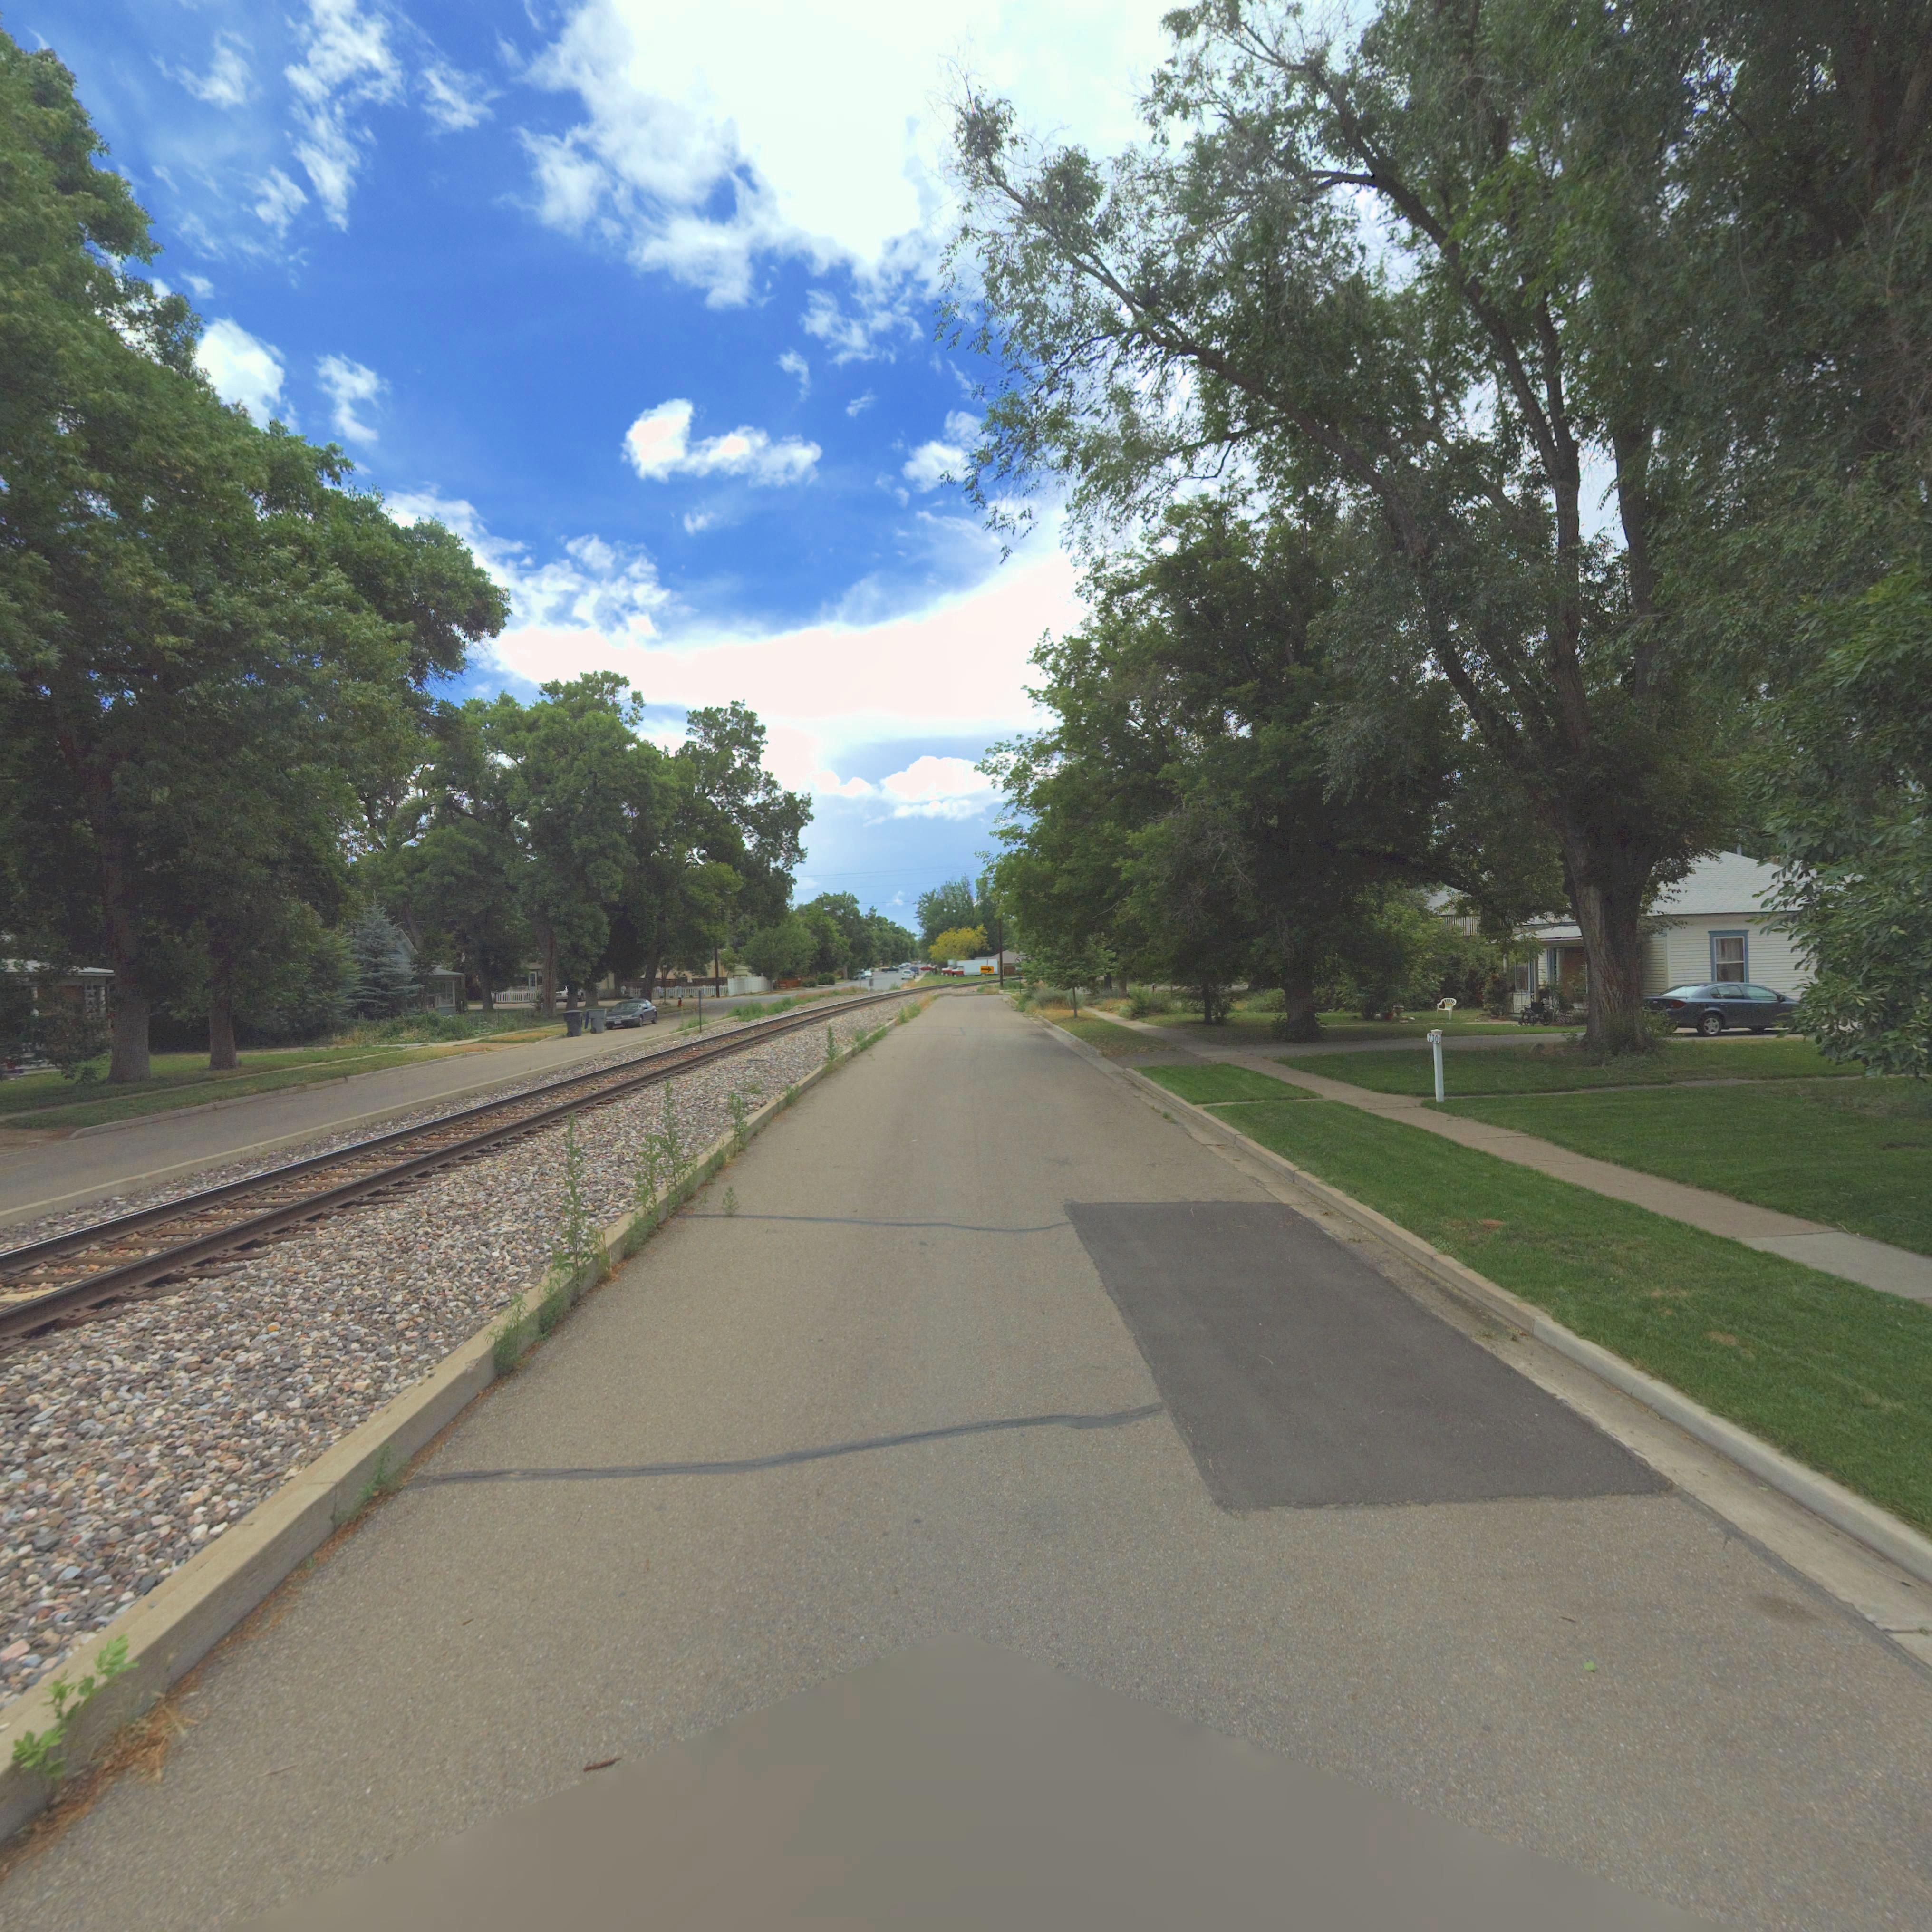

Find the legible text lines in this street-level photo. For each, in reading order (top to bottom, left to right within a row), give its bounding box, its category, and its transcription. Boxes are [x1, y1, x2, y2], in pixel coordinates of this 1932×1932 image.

[1428, 1034, 1439, 1042] StreetNumber: 730